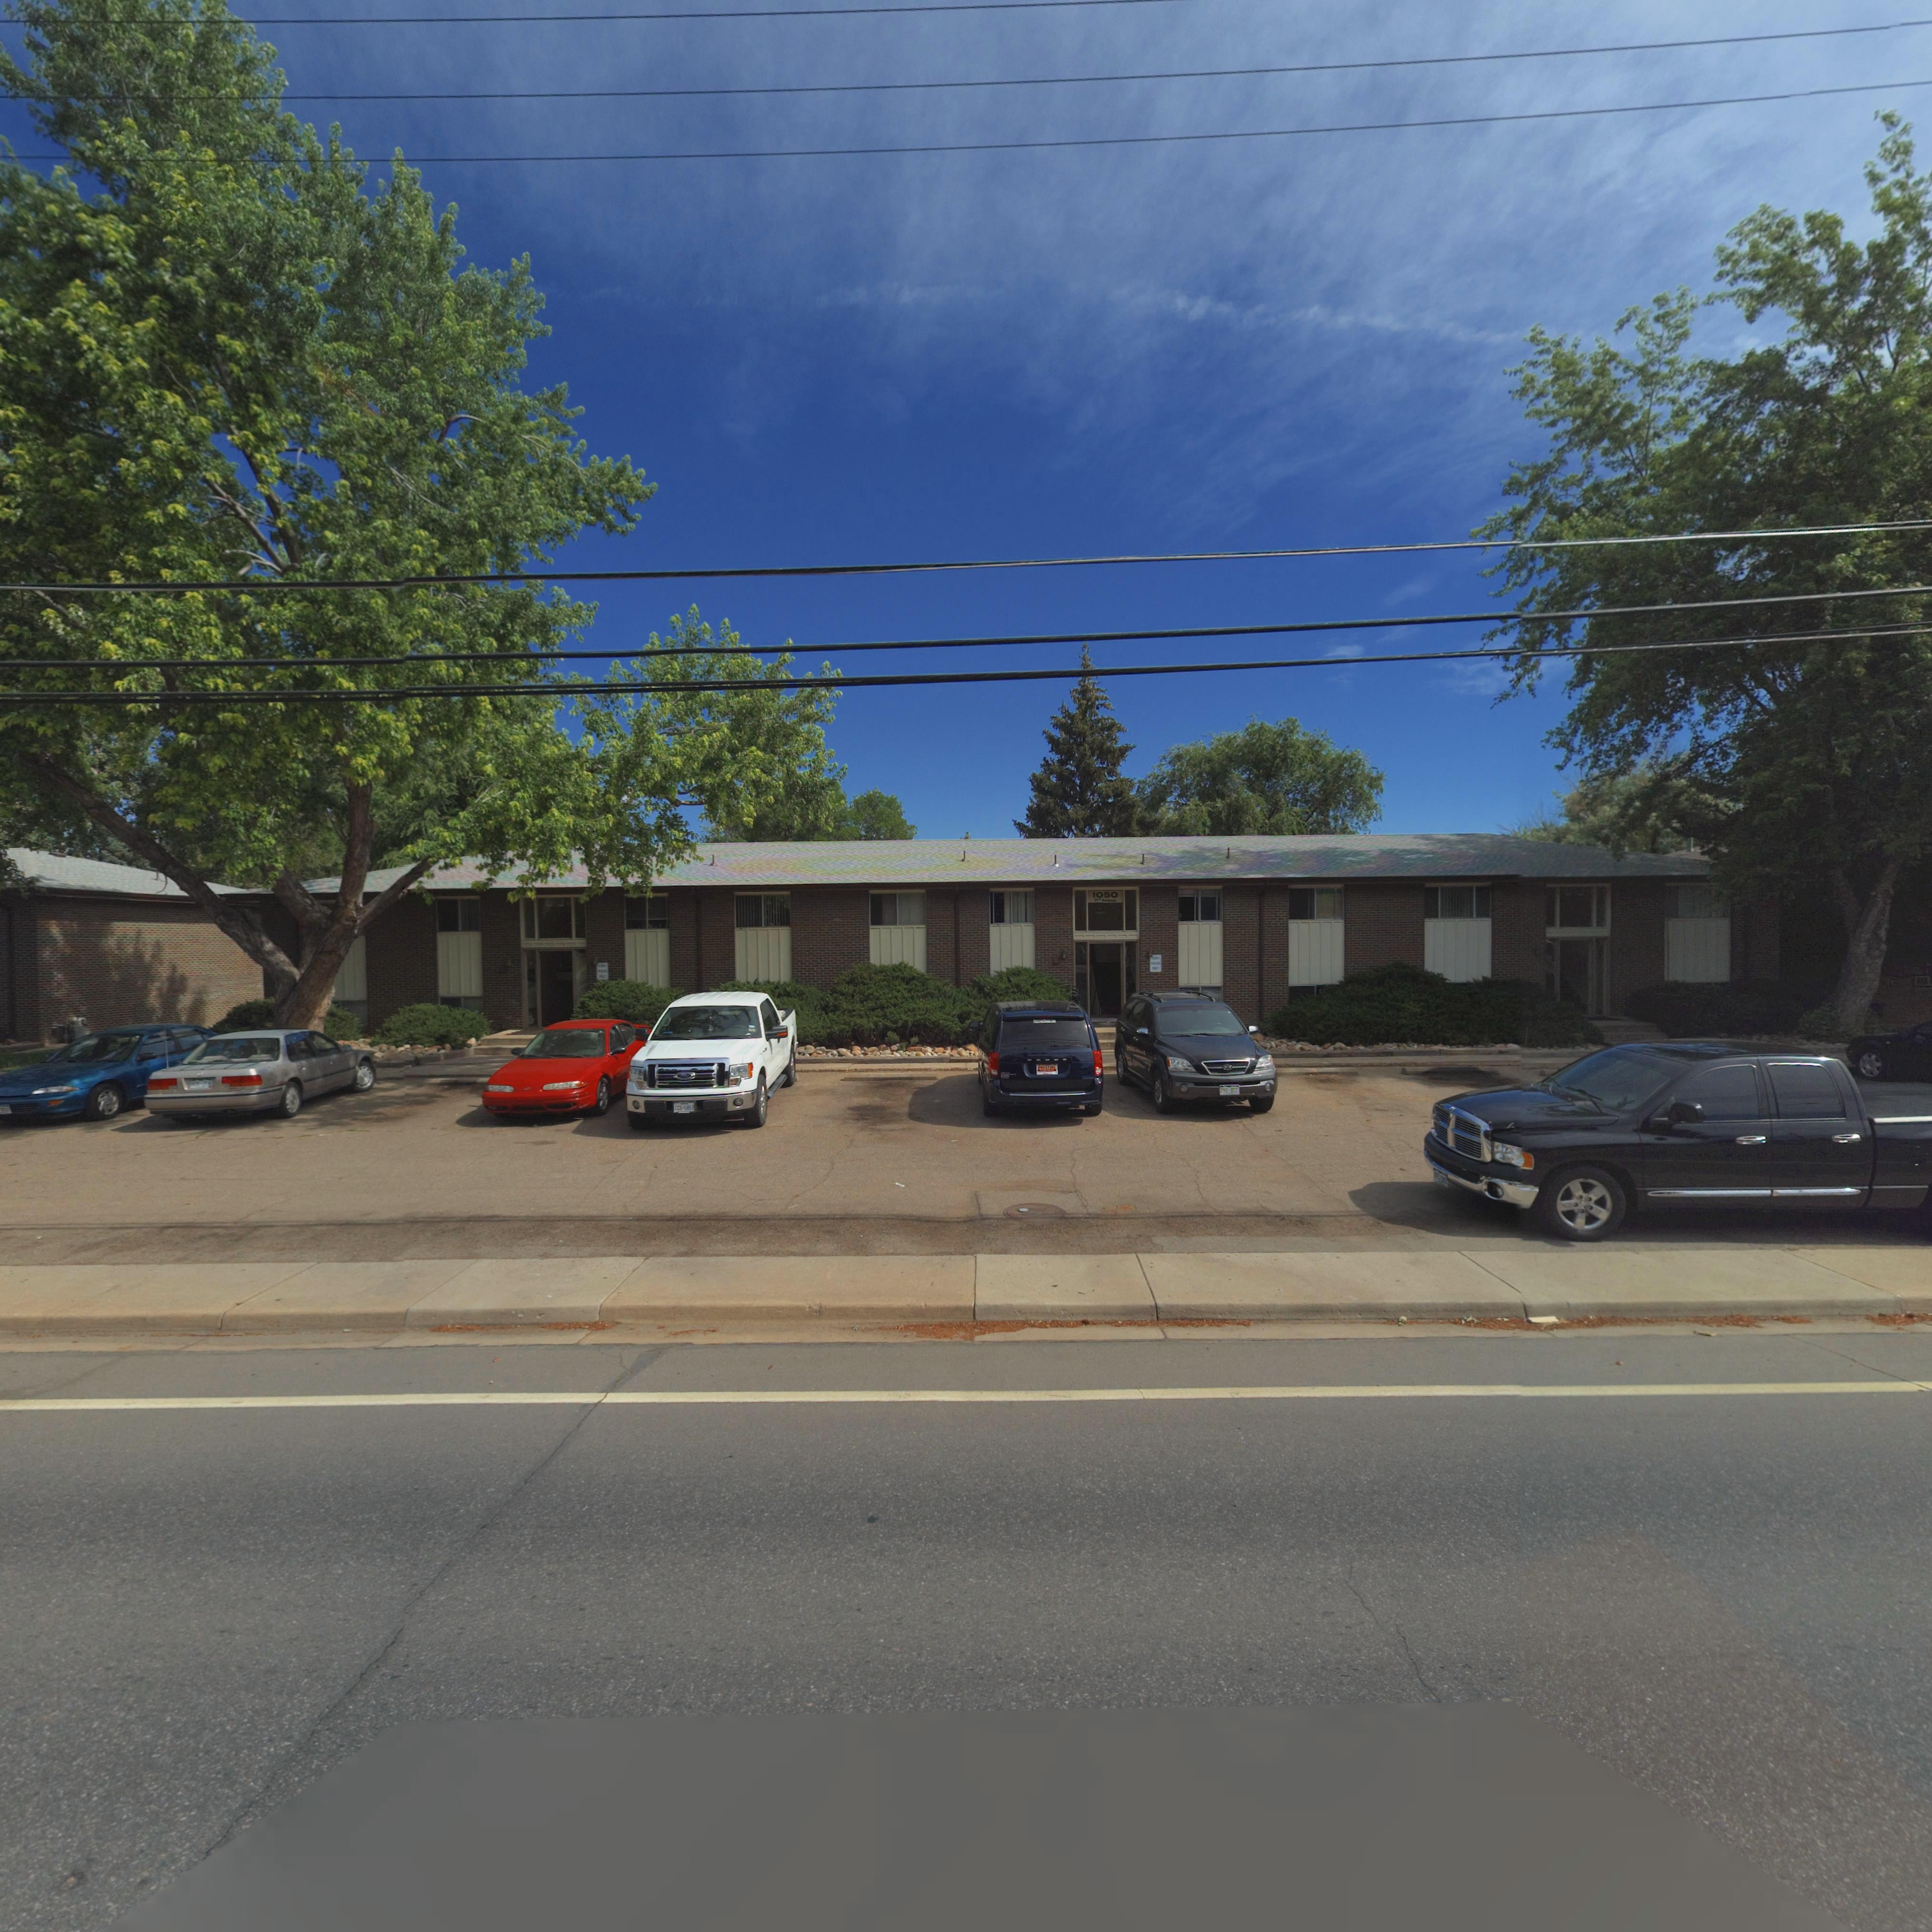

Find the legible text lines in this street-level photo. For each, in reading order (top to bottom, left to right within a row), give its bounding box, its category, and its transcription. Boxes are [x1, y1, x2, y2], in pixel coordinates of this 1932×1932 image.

[1092, 891, 1118, 898] StreetNumber: 1050
[1094, 898, 1116, 902] StreetName: 17** A*****